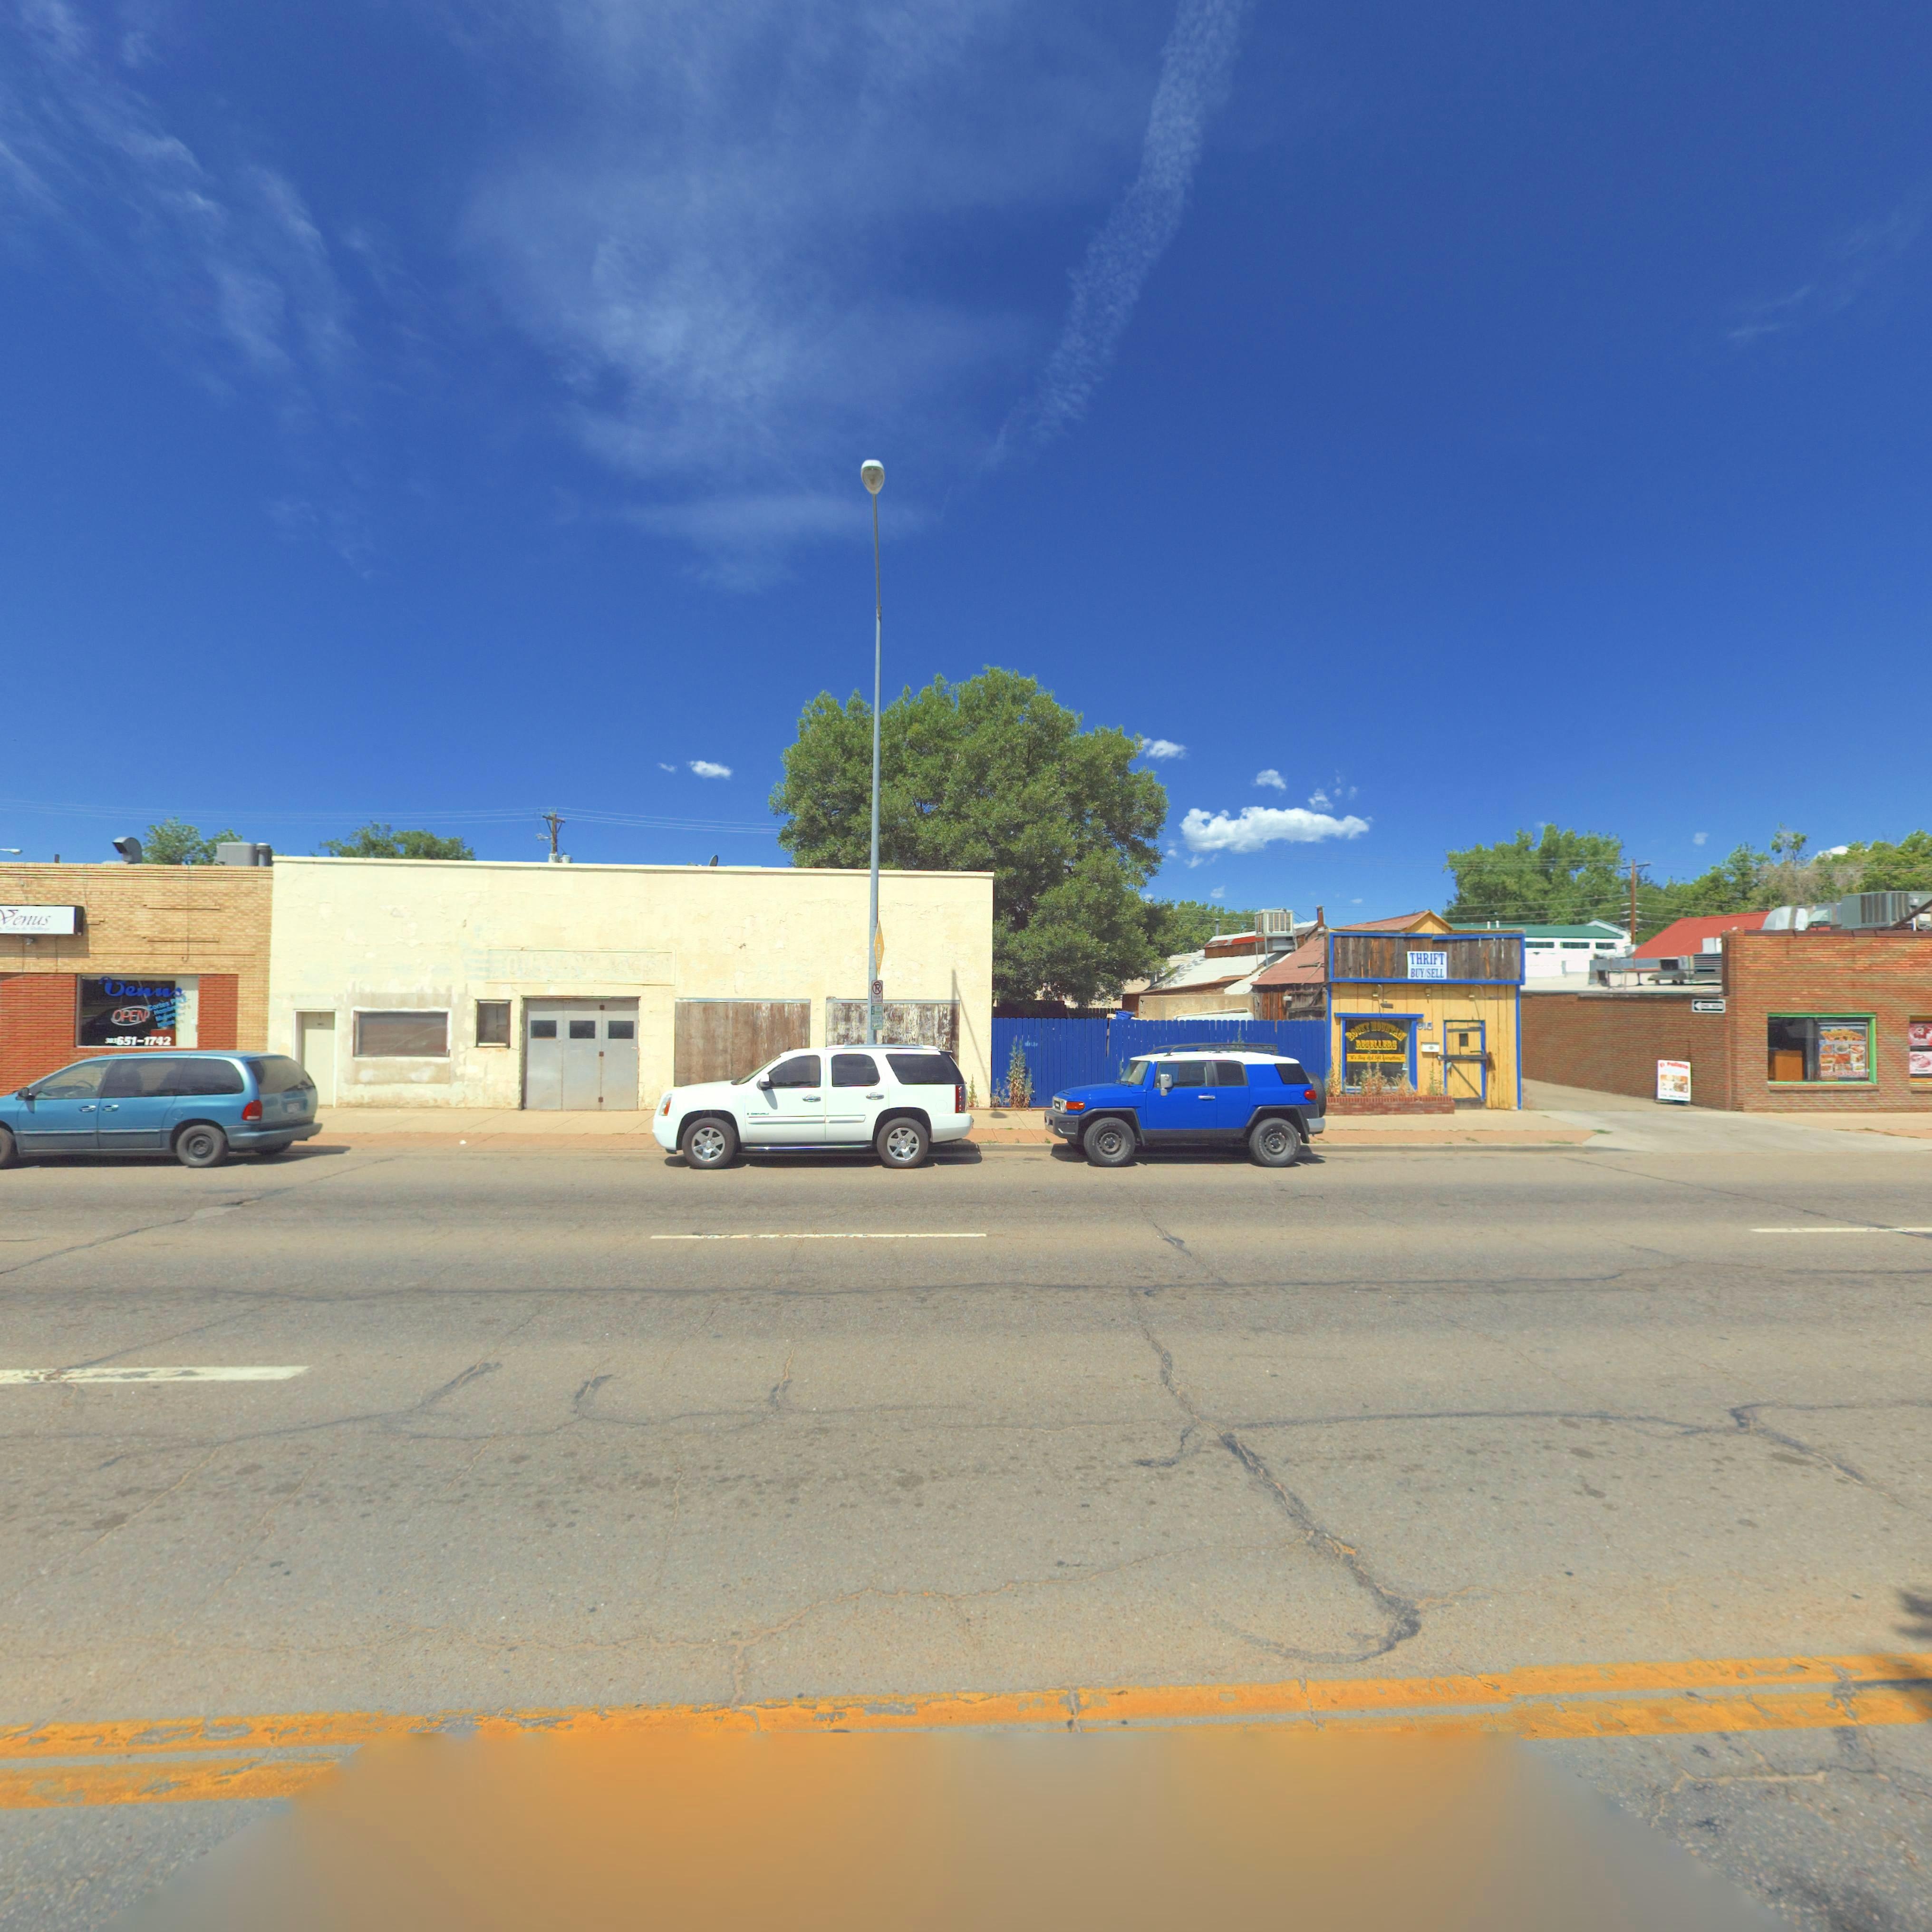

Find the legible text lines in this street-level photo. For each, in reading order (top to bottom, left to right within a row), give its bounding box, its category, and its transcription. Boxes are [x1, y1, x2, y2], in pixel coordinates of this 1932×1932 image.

[0, 908, 51, 925] BusinessName: Venus
[97, 975, 187, 997] BusinessName: Venus
[1344, 1020, 1409, 1043] BusinessName: ROCKY MOUTAIN
[1417, 1021, 1434, 1030] StreetNumber: 915
[1355, 1039, 1397, 1049] BusinessName: RESELLERS